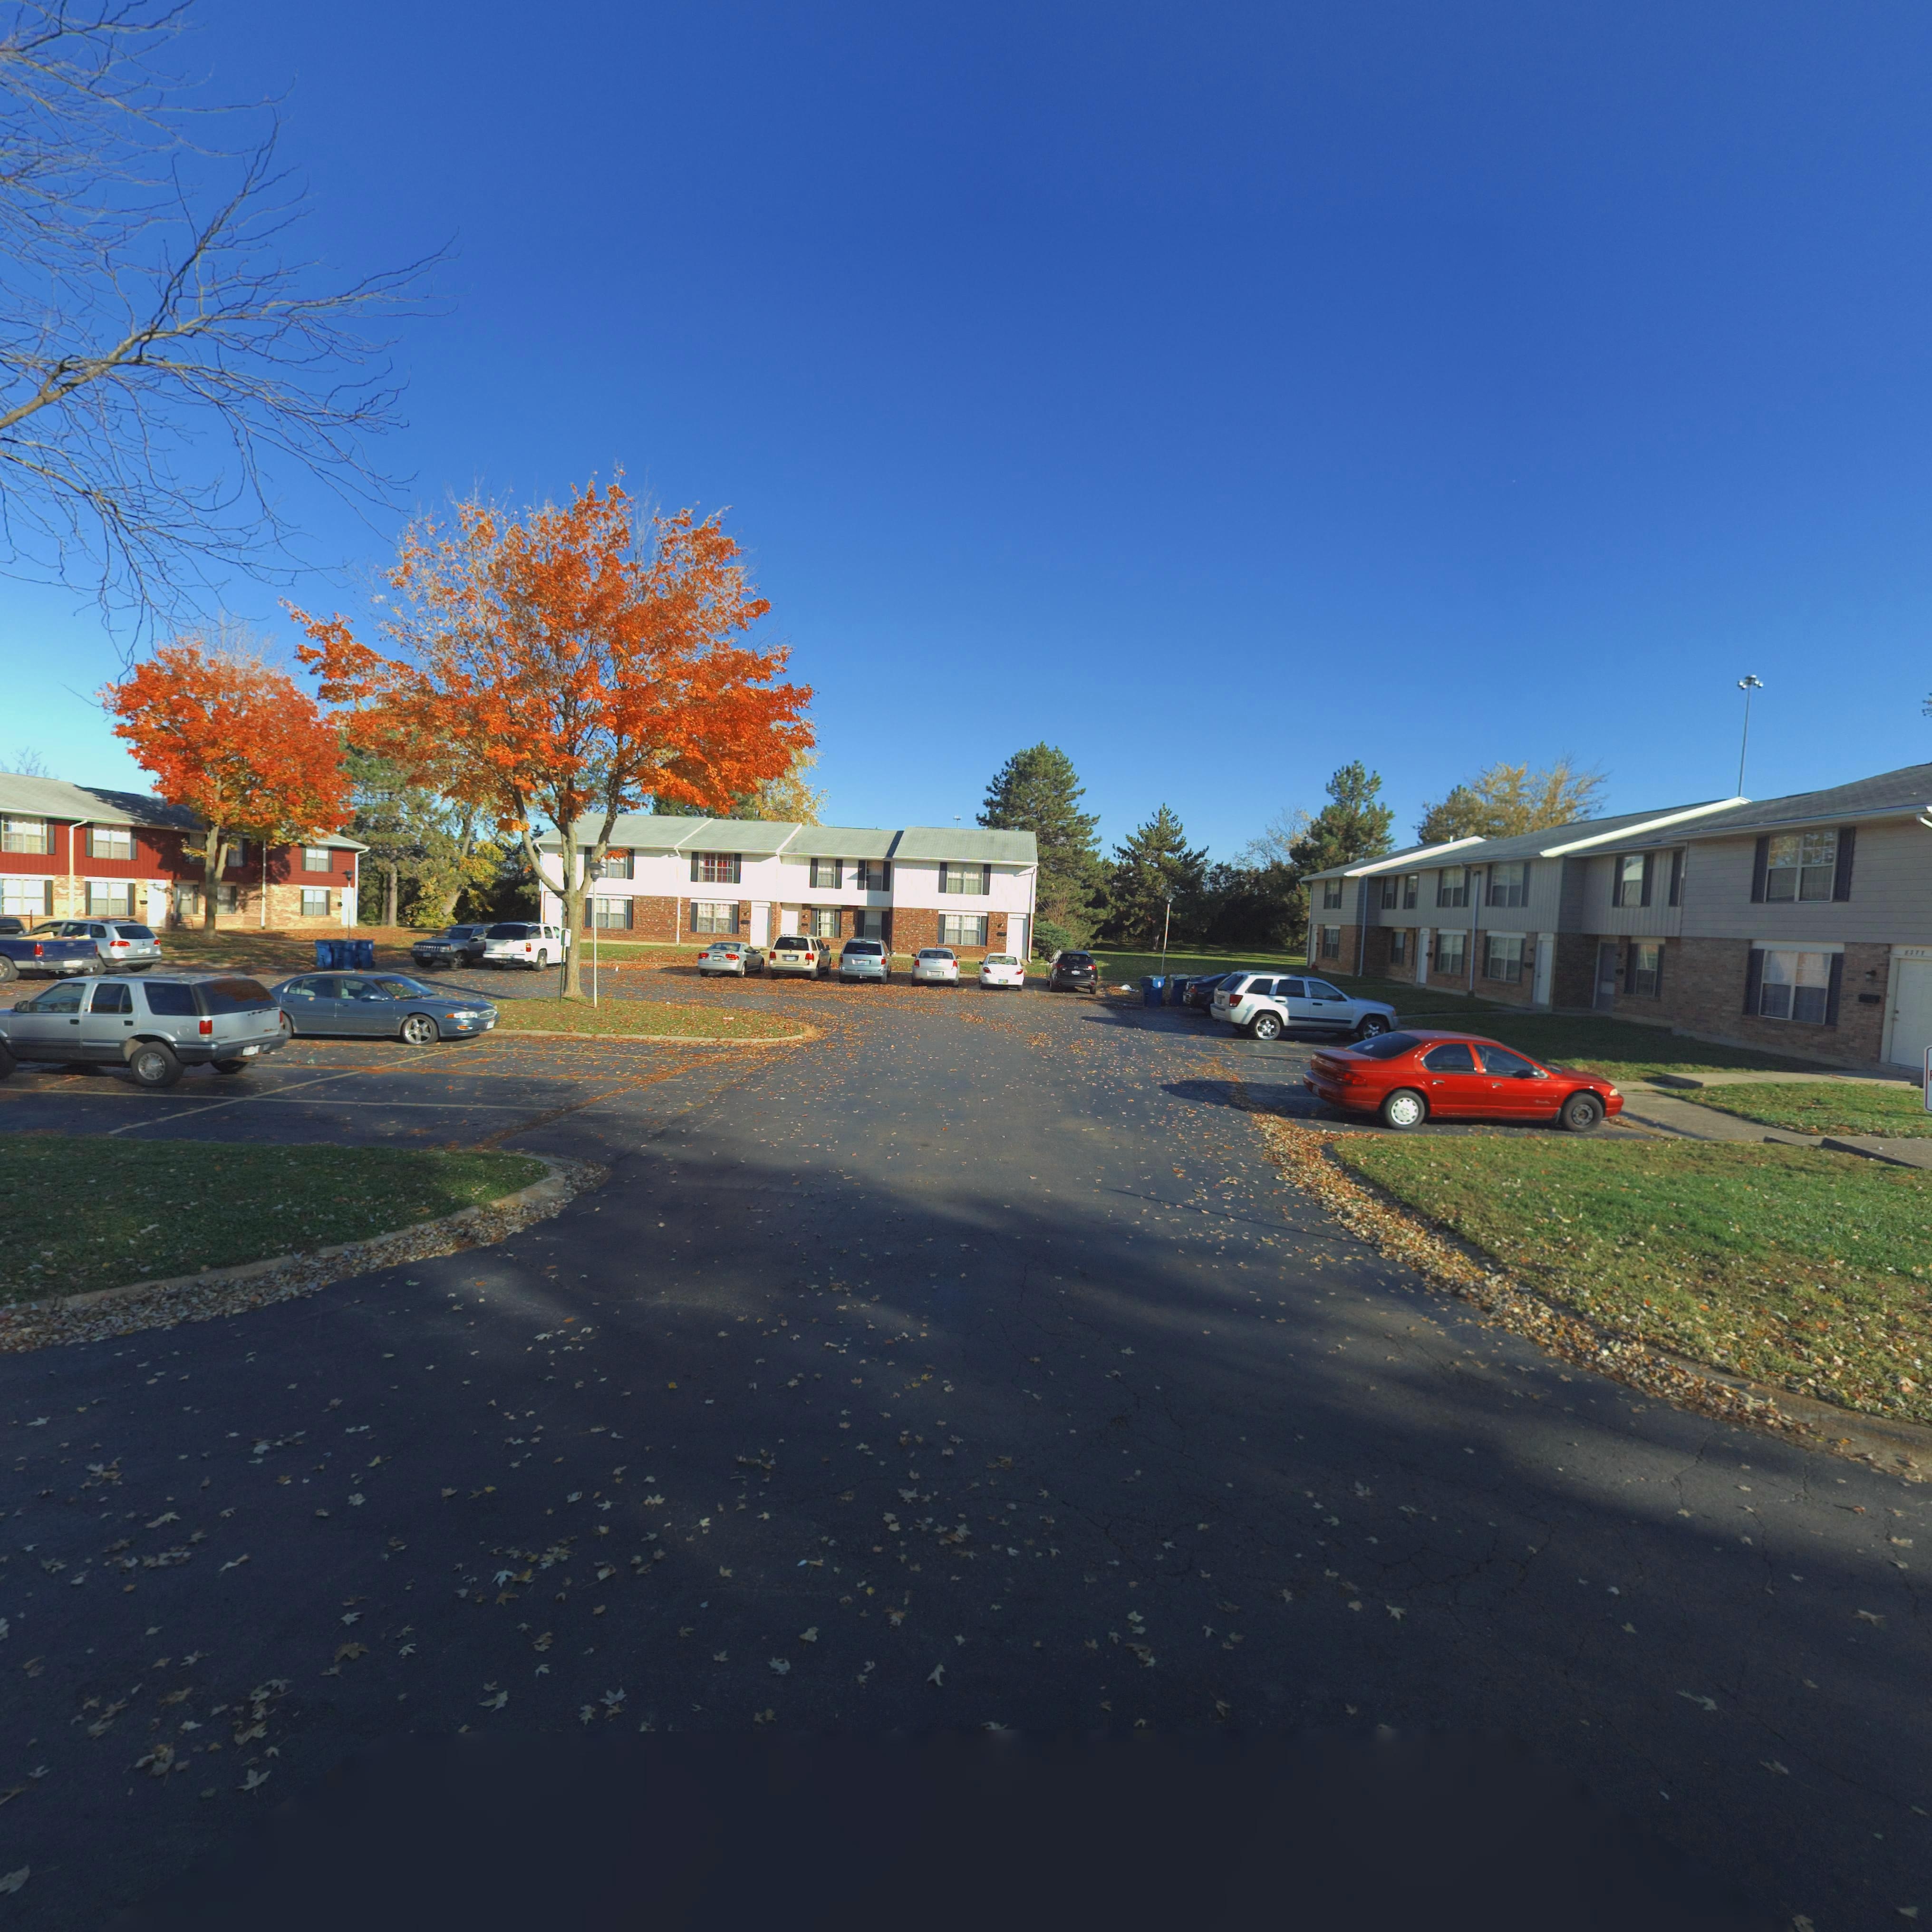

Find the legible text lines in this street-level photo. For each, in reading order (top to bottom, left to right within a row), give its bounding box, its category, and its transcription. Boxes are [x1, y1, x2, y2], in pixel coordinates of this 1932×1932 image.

[1904, 949, 1925, 956] StreetNumber: 8*77